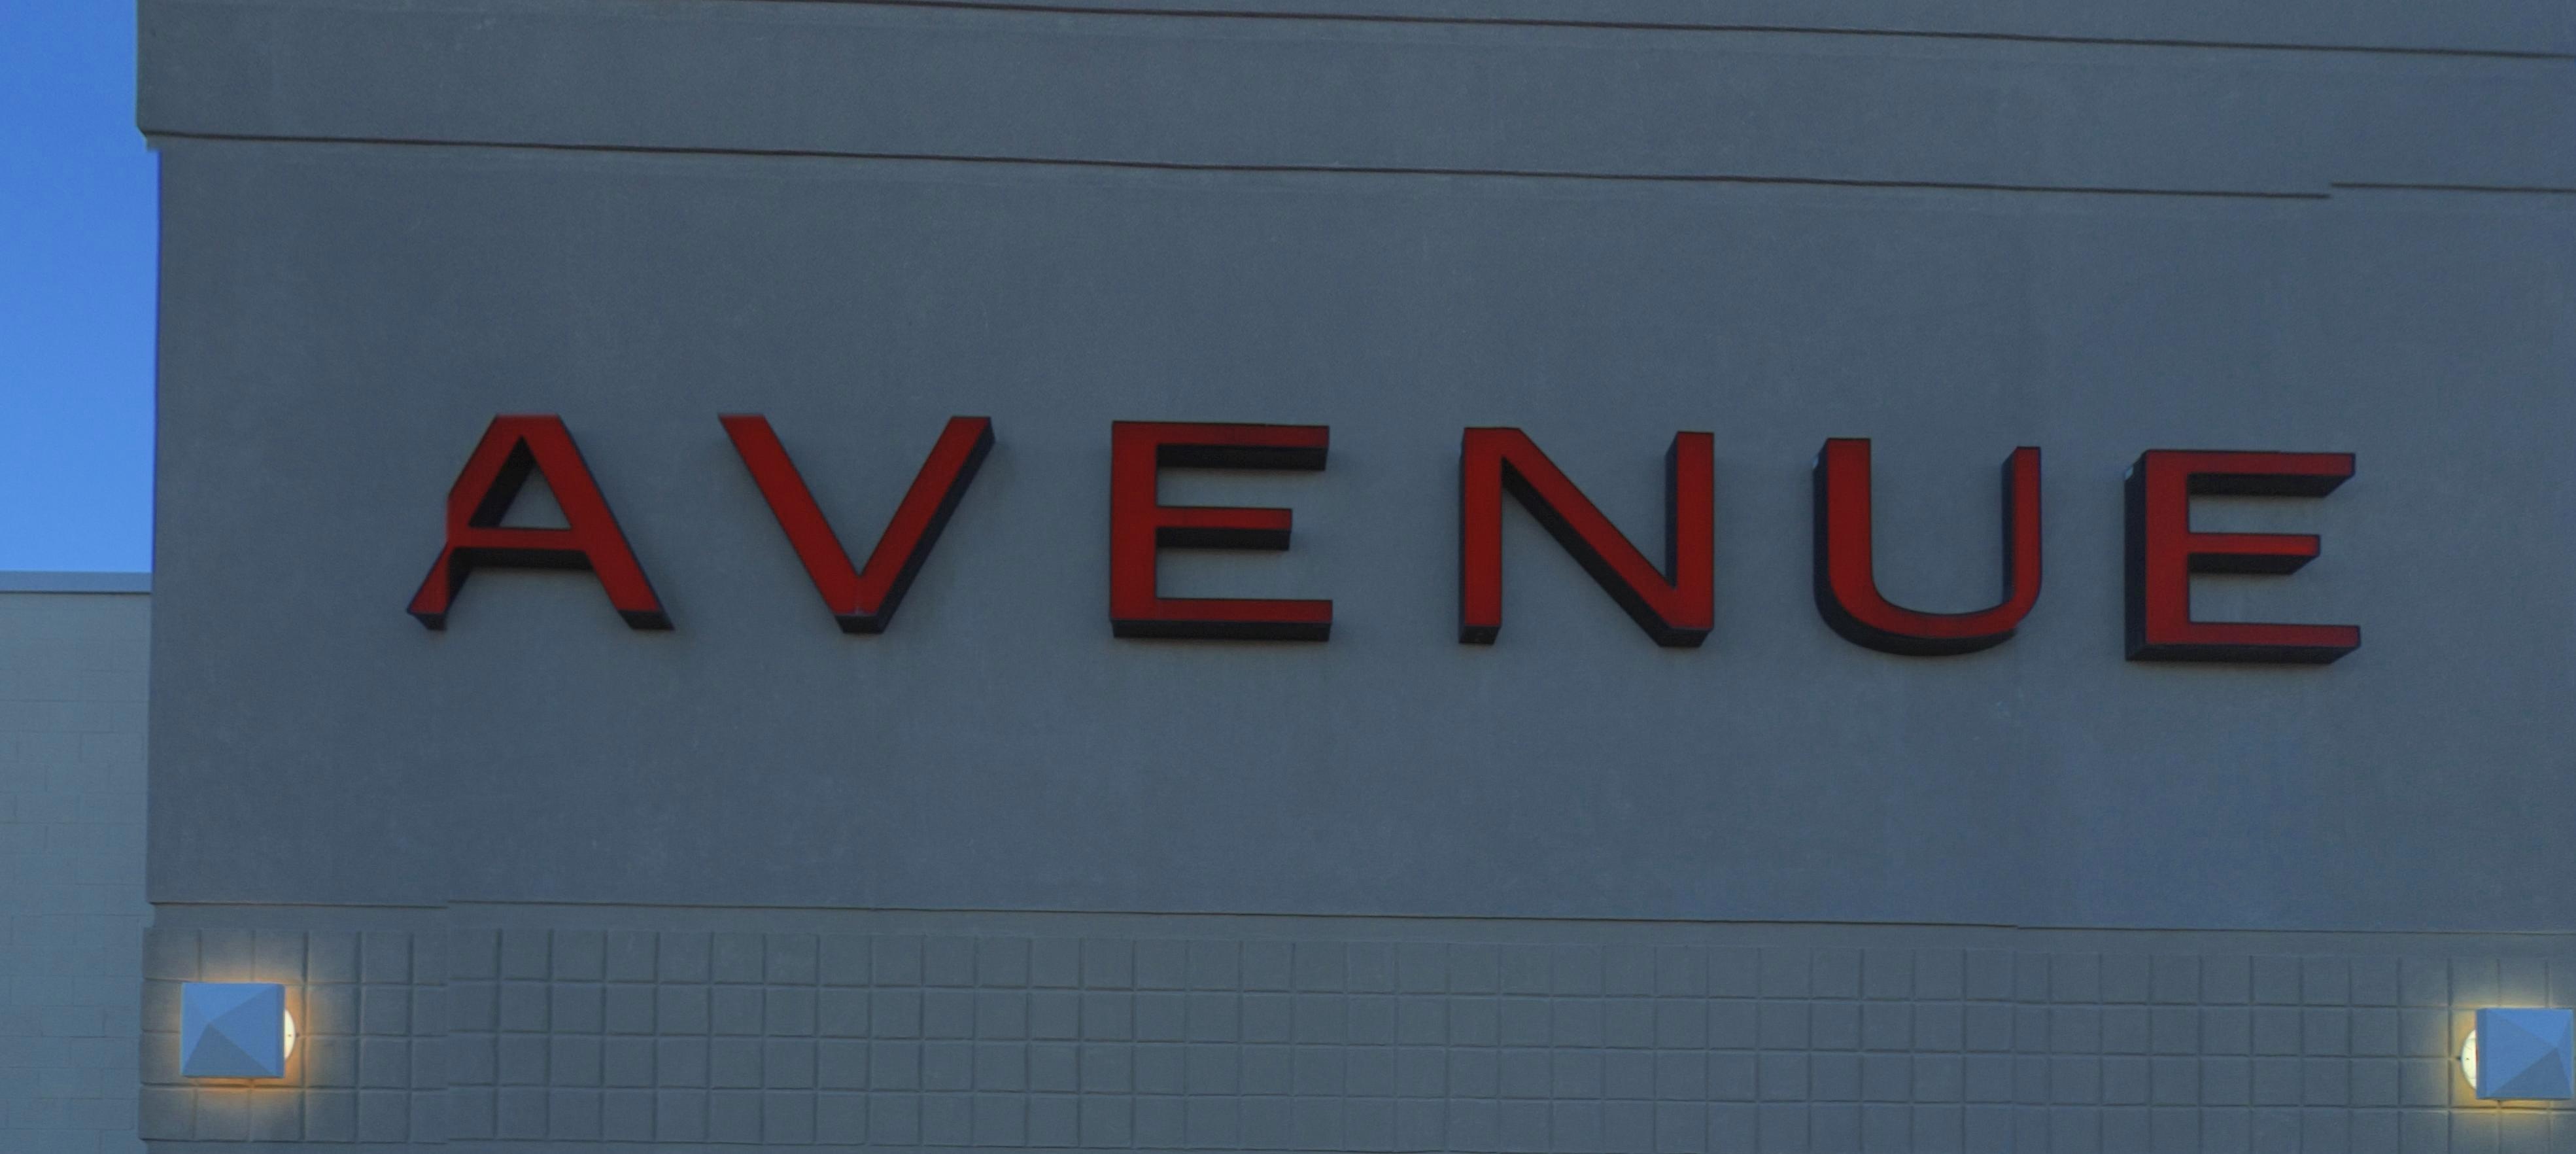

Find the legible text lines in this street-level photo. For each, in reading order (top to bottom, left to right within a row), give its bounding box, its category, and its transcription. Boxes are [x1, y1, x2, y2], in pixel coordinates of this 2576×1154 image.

[402, 411, 2364, 652] BusinessName: AVENUE